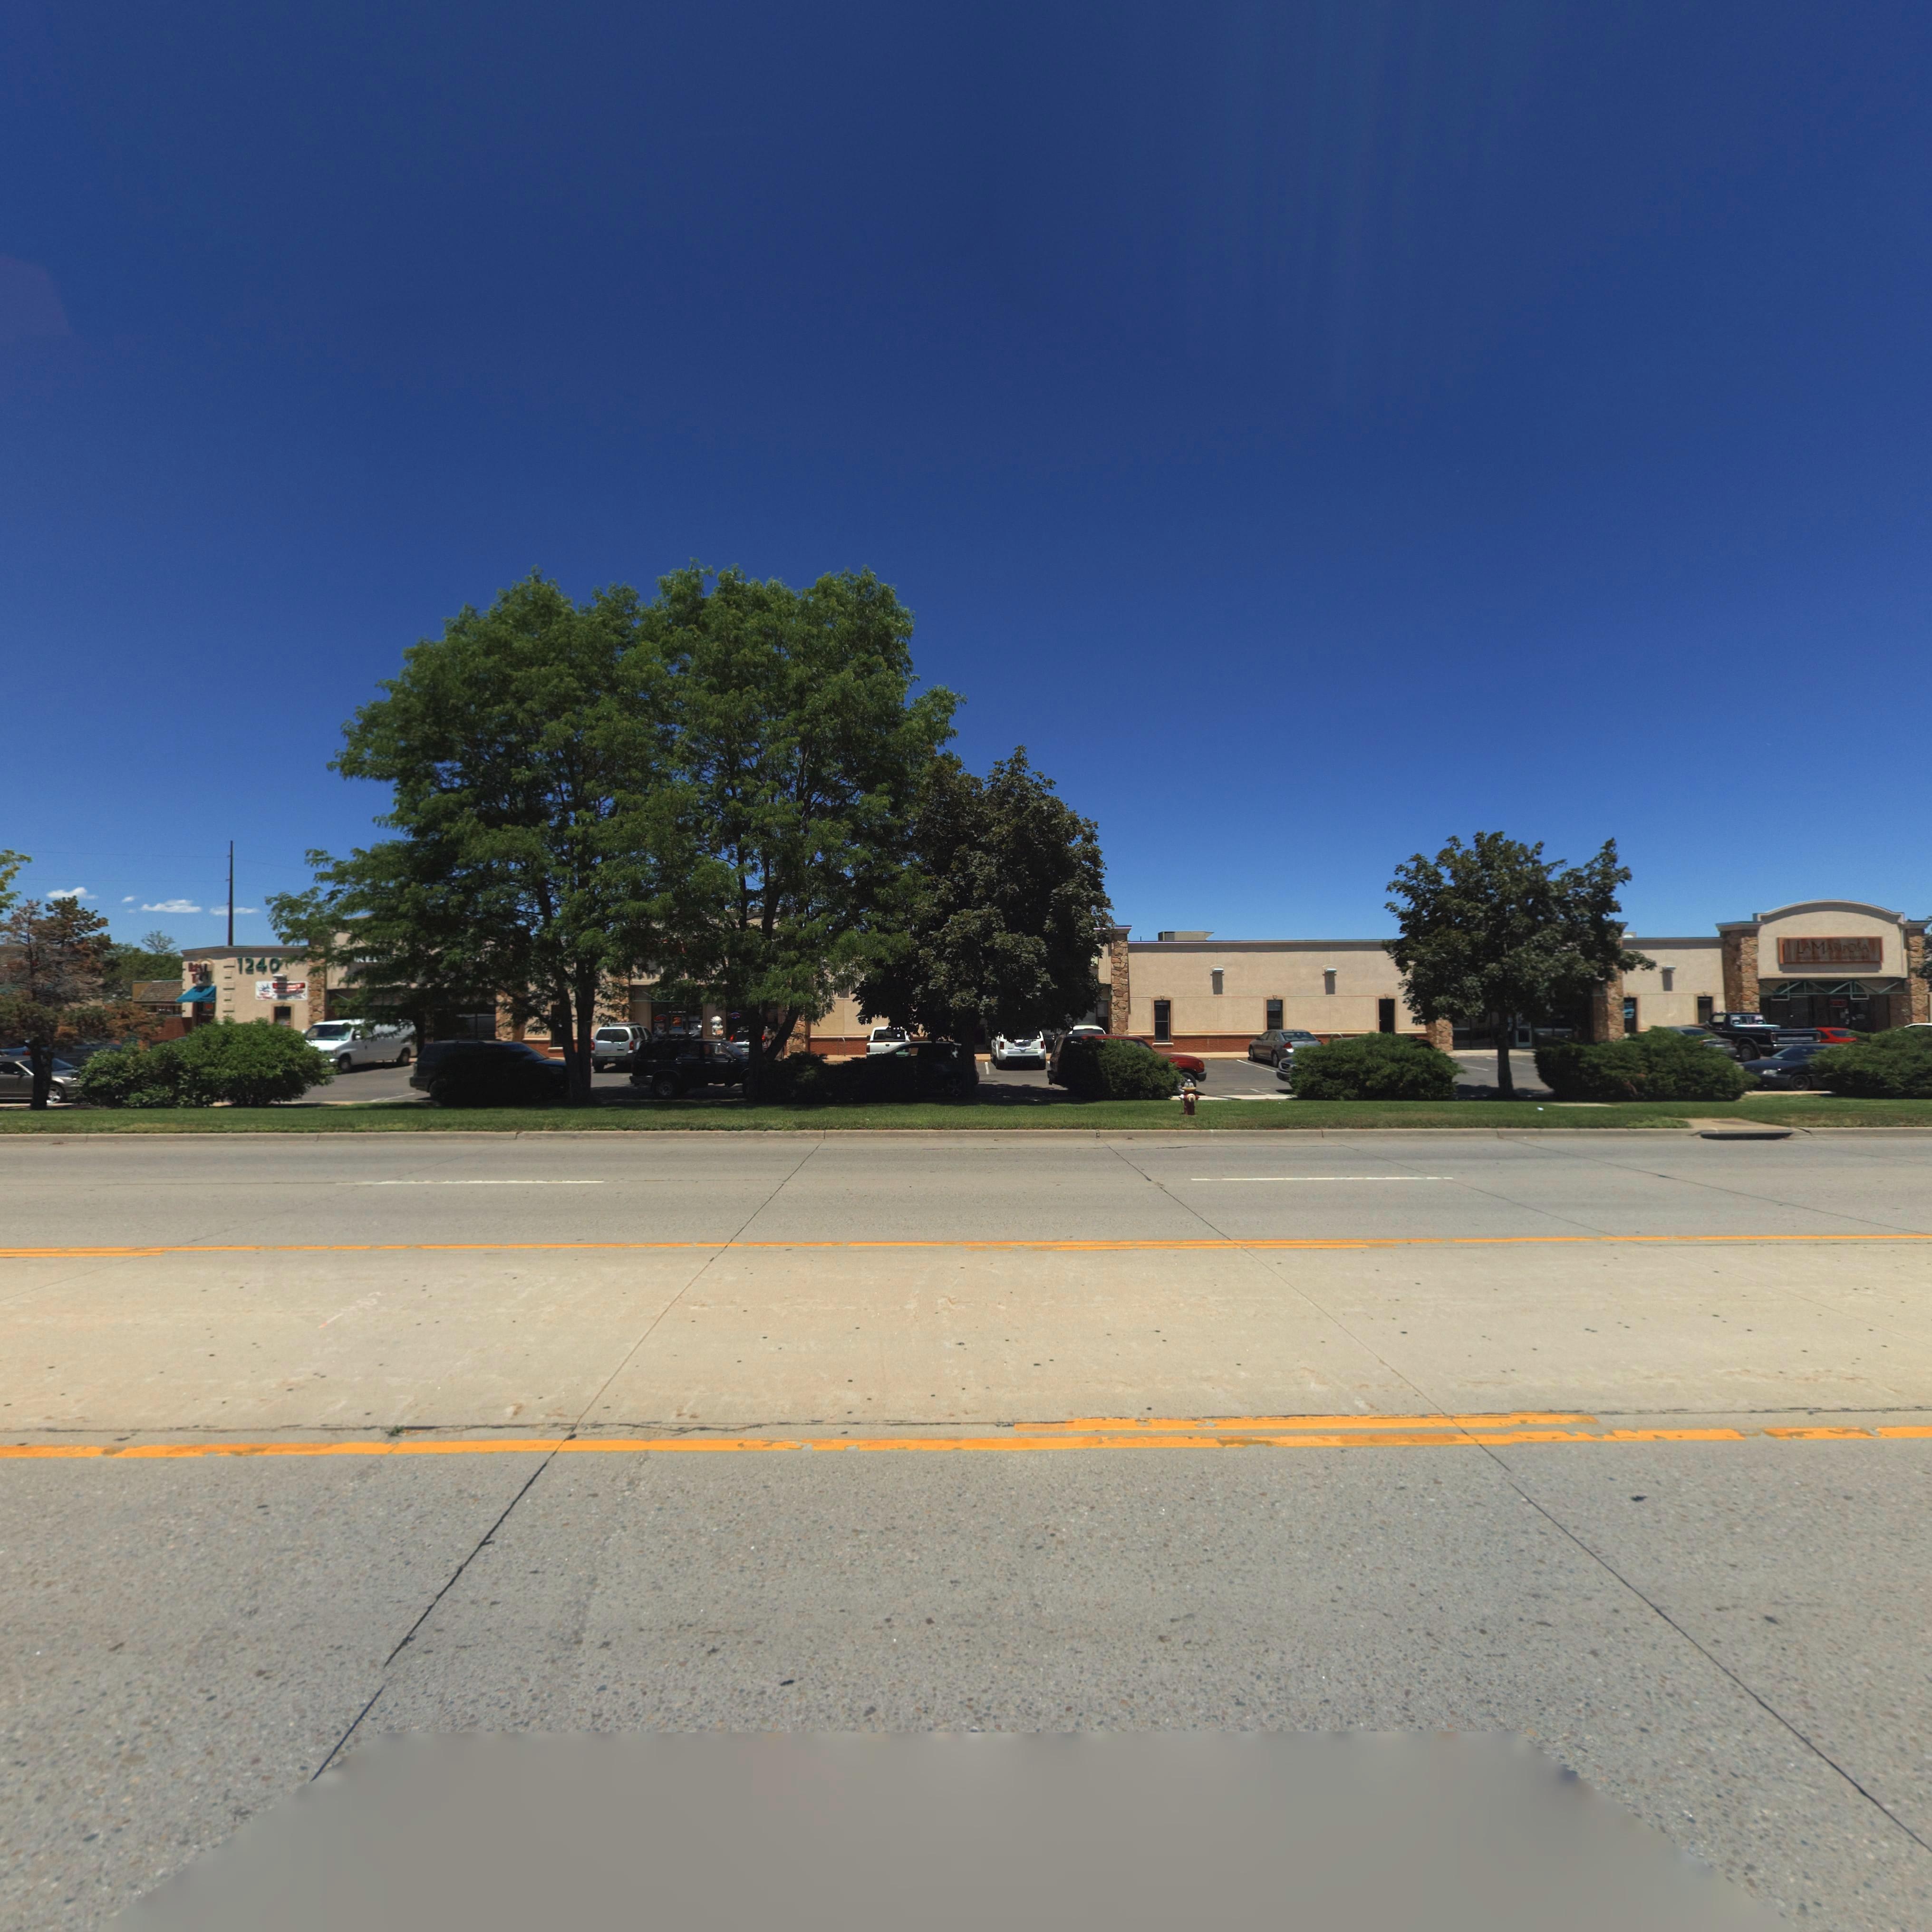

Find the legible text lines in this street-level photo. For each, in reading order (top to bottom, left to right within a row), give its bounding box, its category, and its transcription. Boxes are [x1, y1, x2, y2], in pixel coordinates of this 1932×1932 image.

[237, 956, 281, 972] StreetNumber: 1240